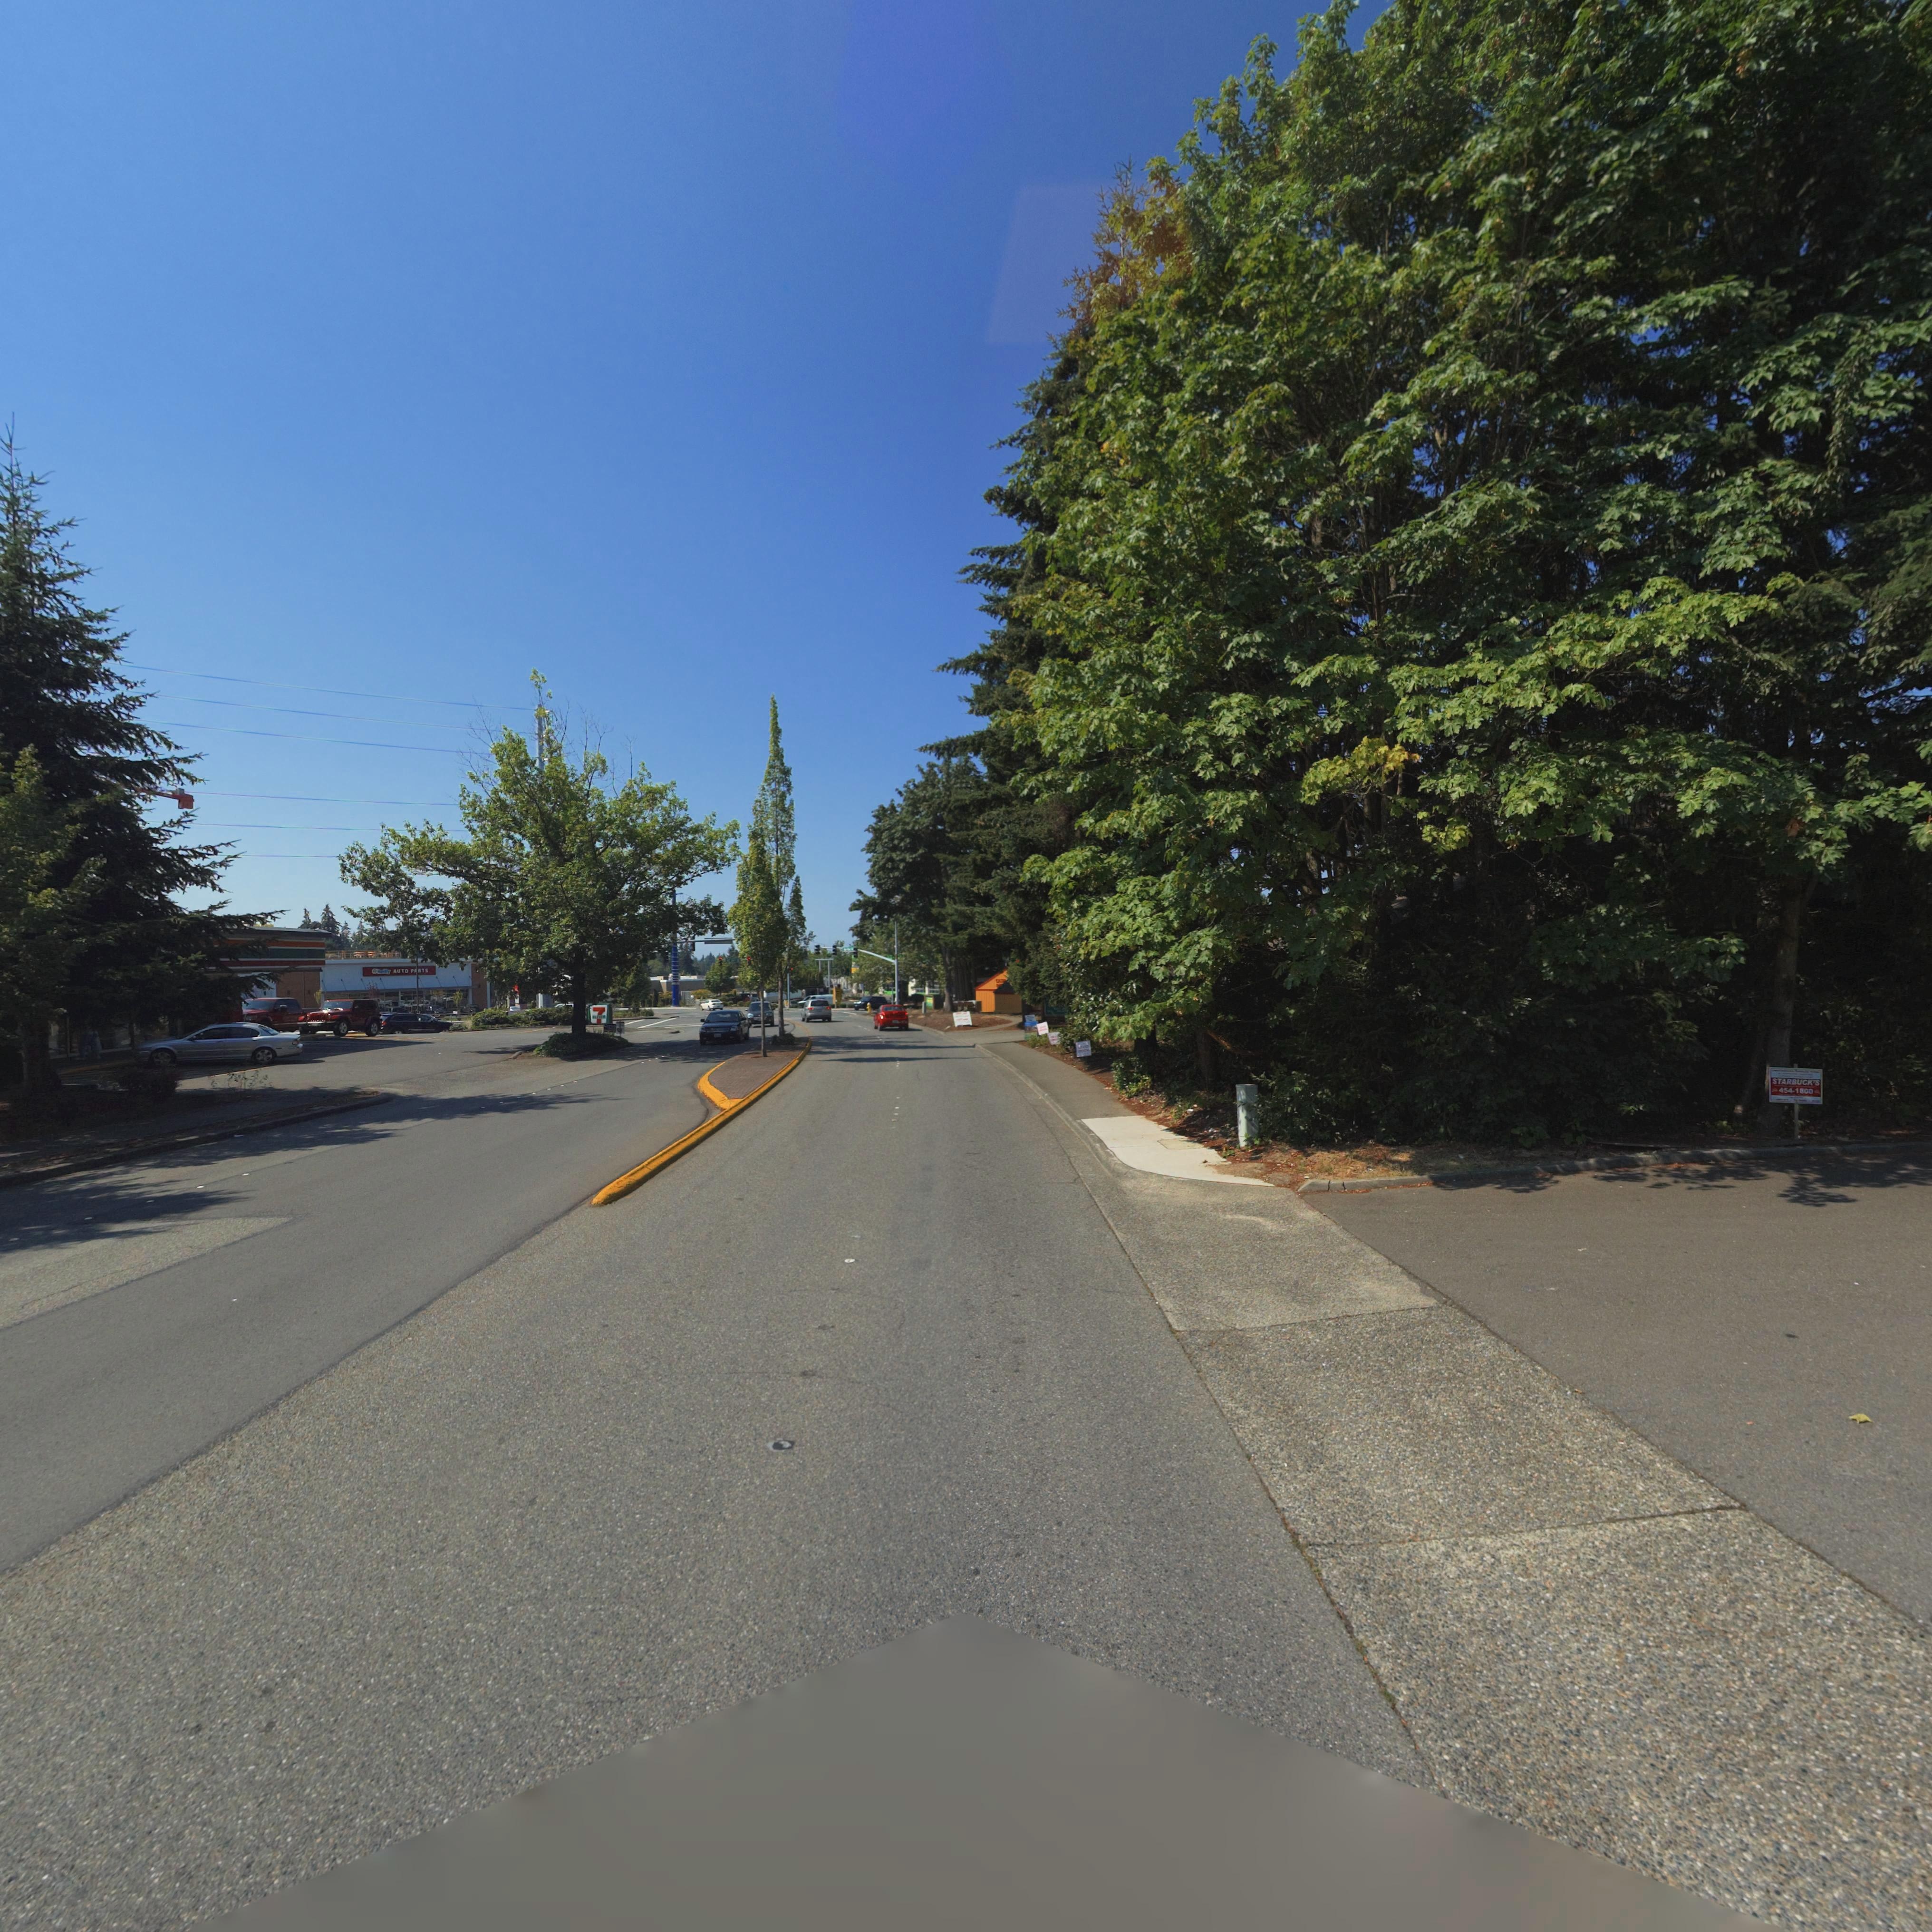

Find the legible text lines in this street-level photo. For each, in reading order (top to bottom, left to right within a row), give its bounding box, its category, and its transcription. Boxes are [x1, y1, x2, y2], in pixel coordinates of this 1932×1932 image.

[392, 966, 431, 974] BusinessName: AUTO PARTS
[1772, 1078, 1819, 1086] BusinessName: STARBUCKS